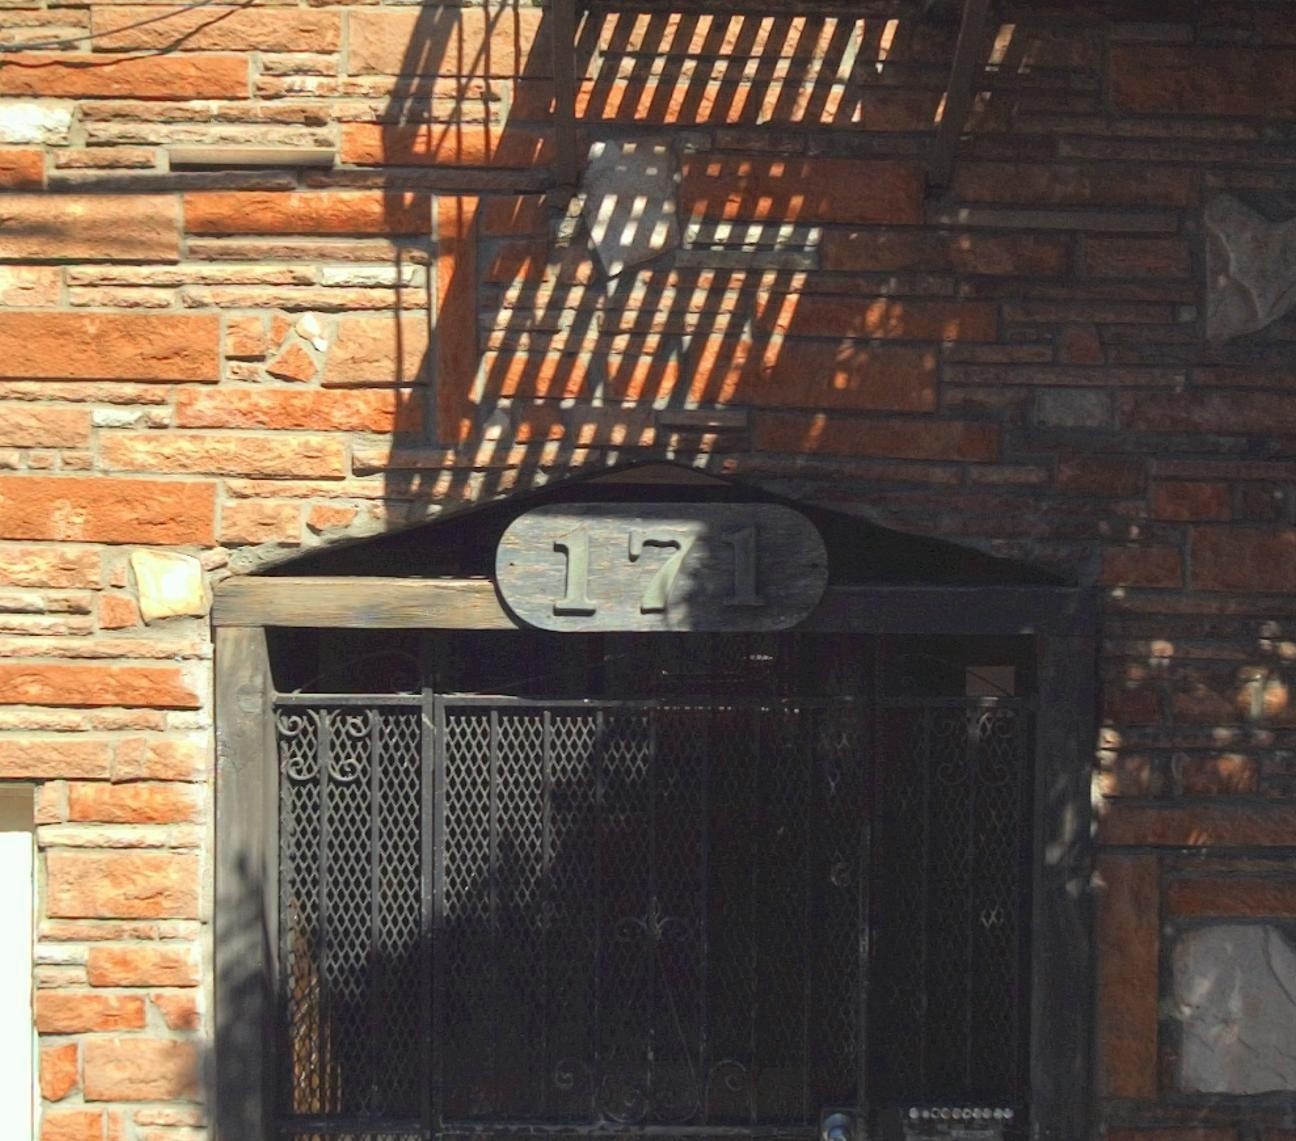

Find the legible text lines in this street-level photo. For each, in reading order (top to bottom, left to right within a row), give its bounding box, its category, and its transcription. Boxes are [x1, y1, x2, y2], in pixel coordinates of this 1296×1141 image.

[548, 520, 769, 617] StreetNumber: 171